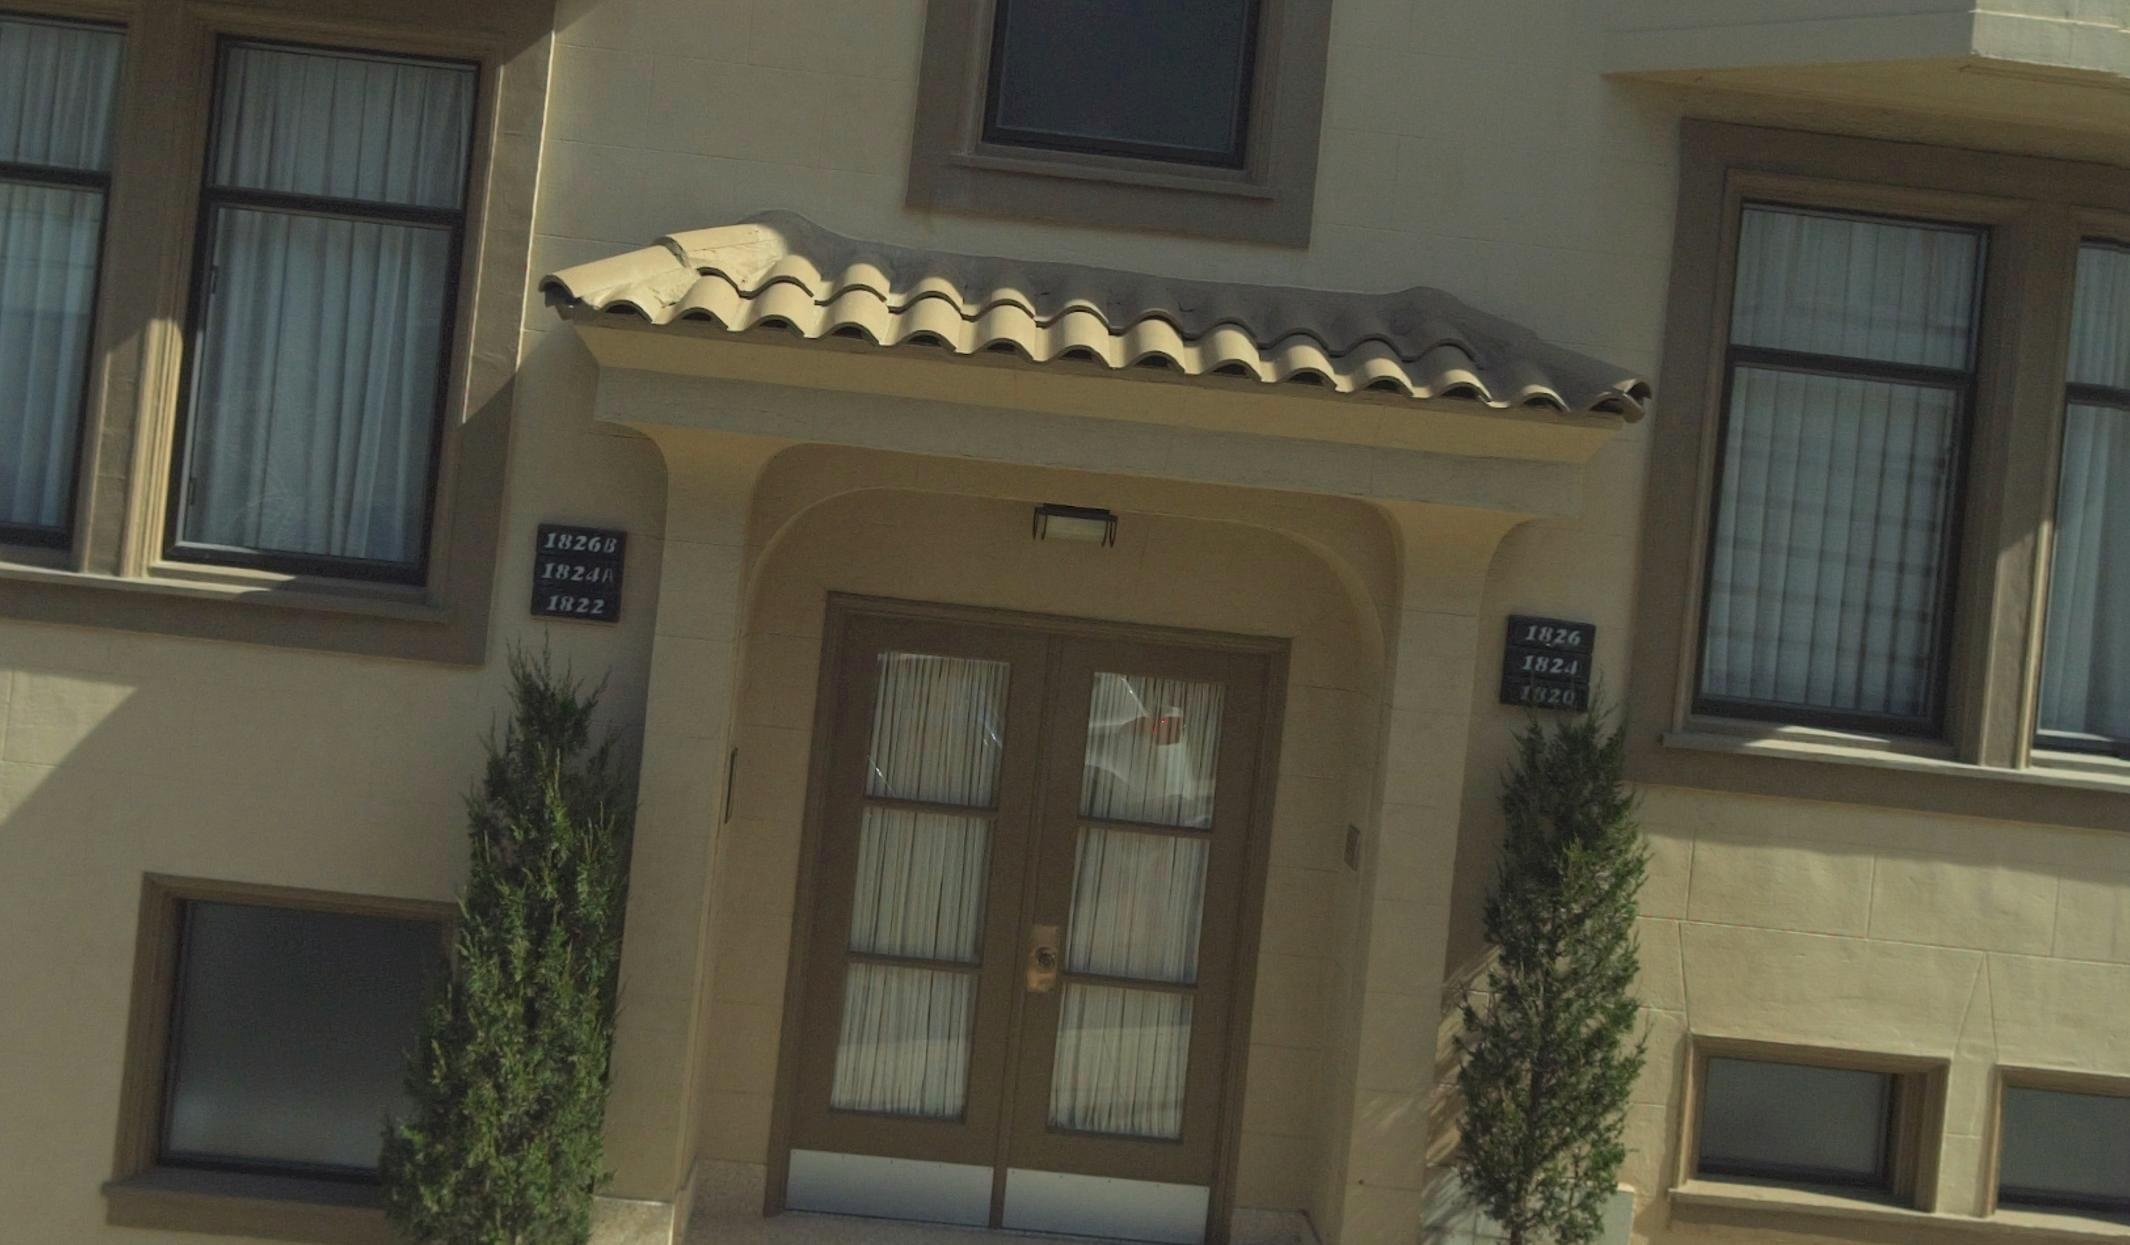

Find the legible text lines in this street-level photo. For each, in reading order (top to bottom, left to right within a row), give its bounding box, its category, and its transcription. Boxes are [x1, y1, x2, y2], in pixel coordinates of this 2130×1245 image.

[541, 530, 622, 556] StreetNumber: 1826B
[539, 558, 617, 588] StreetNumber: 1824A
[544, 593, 606, 616] StreetNumber: 1822
[1522, 622, 1583, 648] StreetNumber: 1826
[1519, 652, 1582, 677] StreetNumber: 1824
[1517, 682, 1578, 708] StreetNumber: 1820